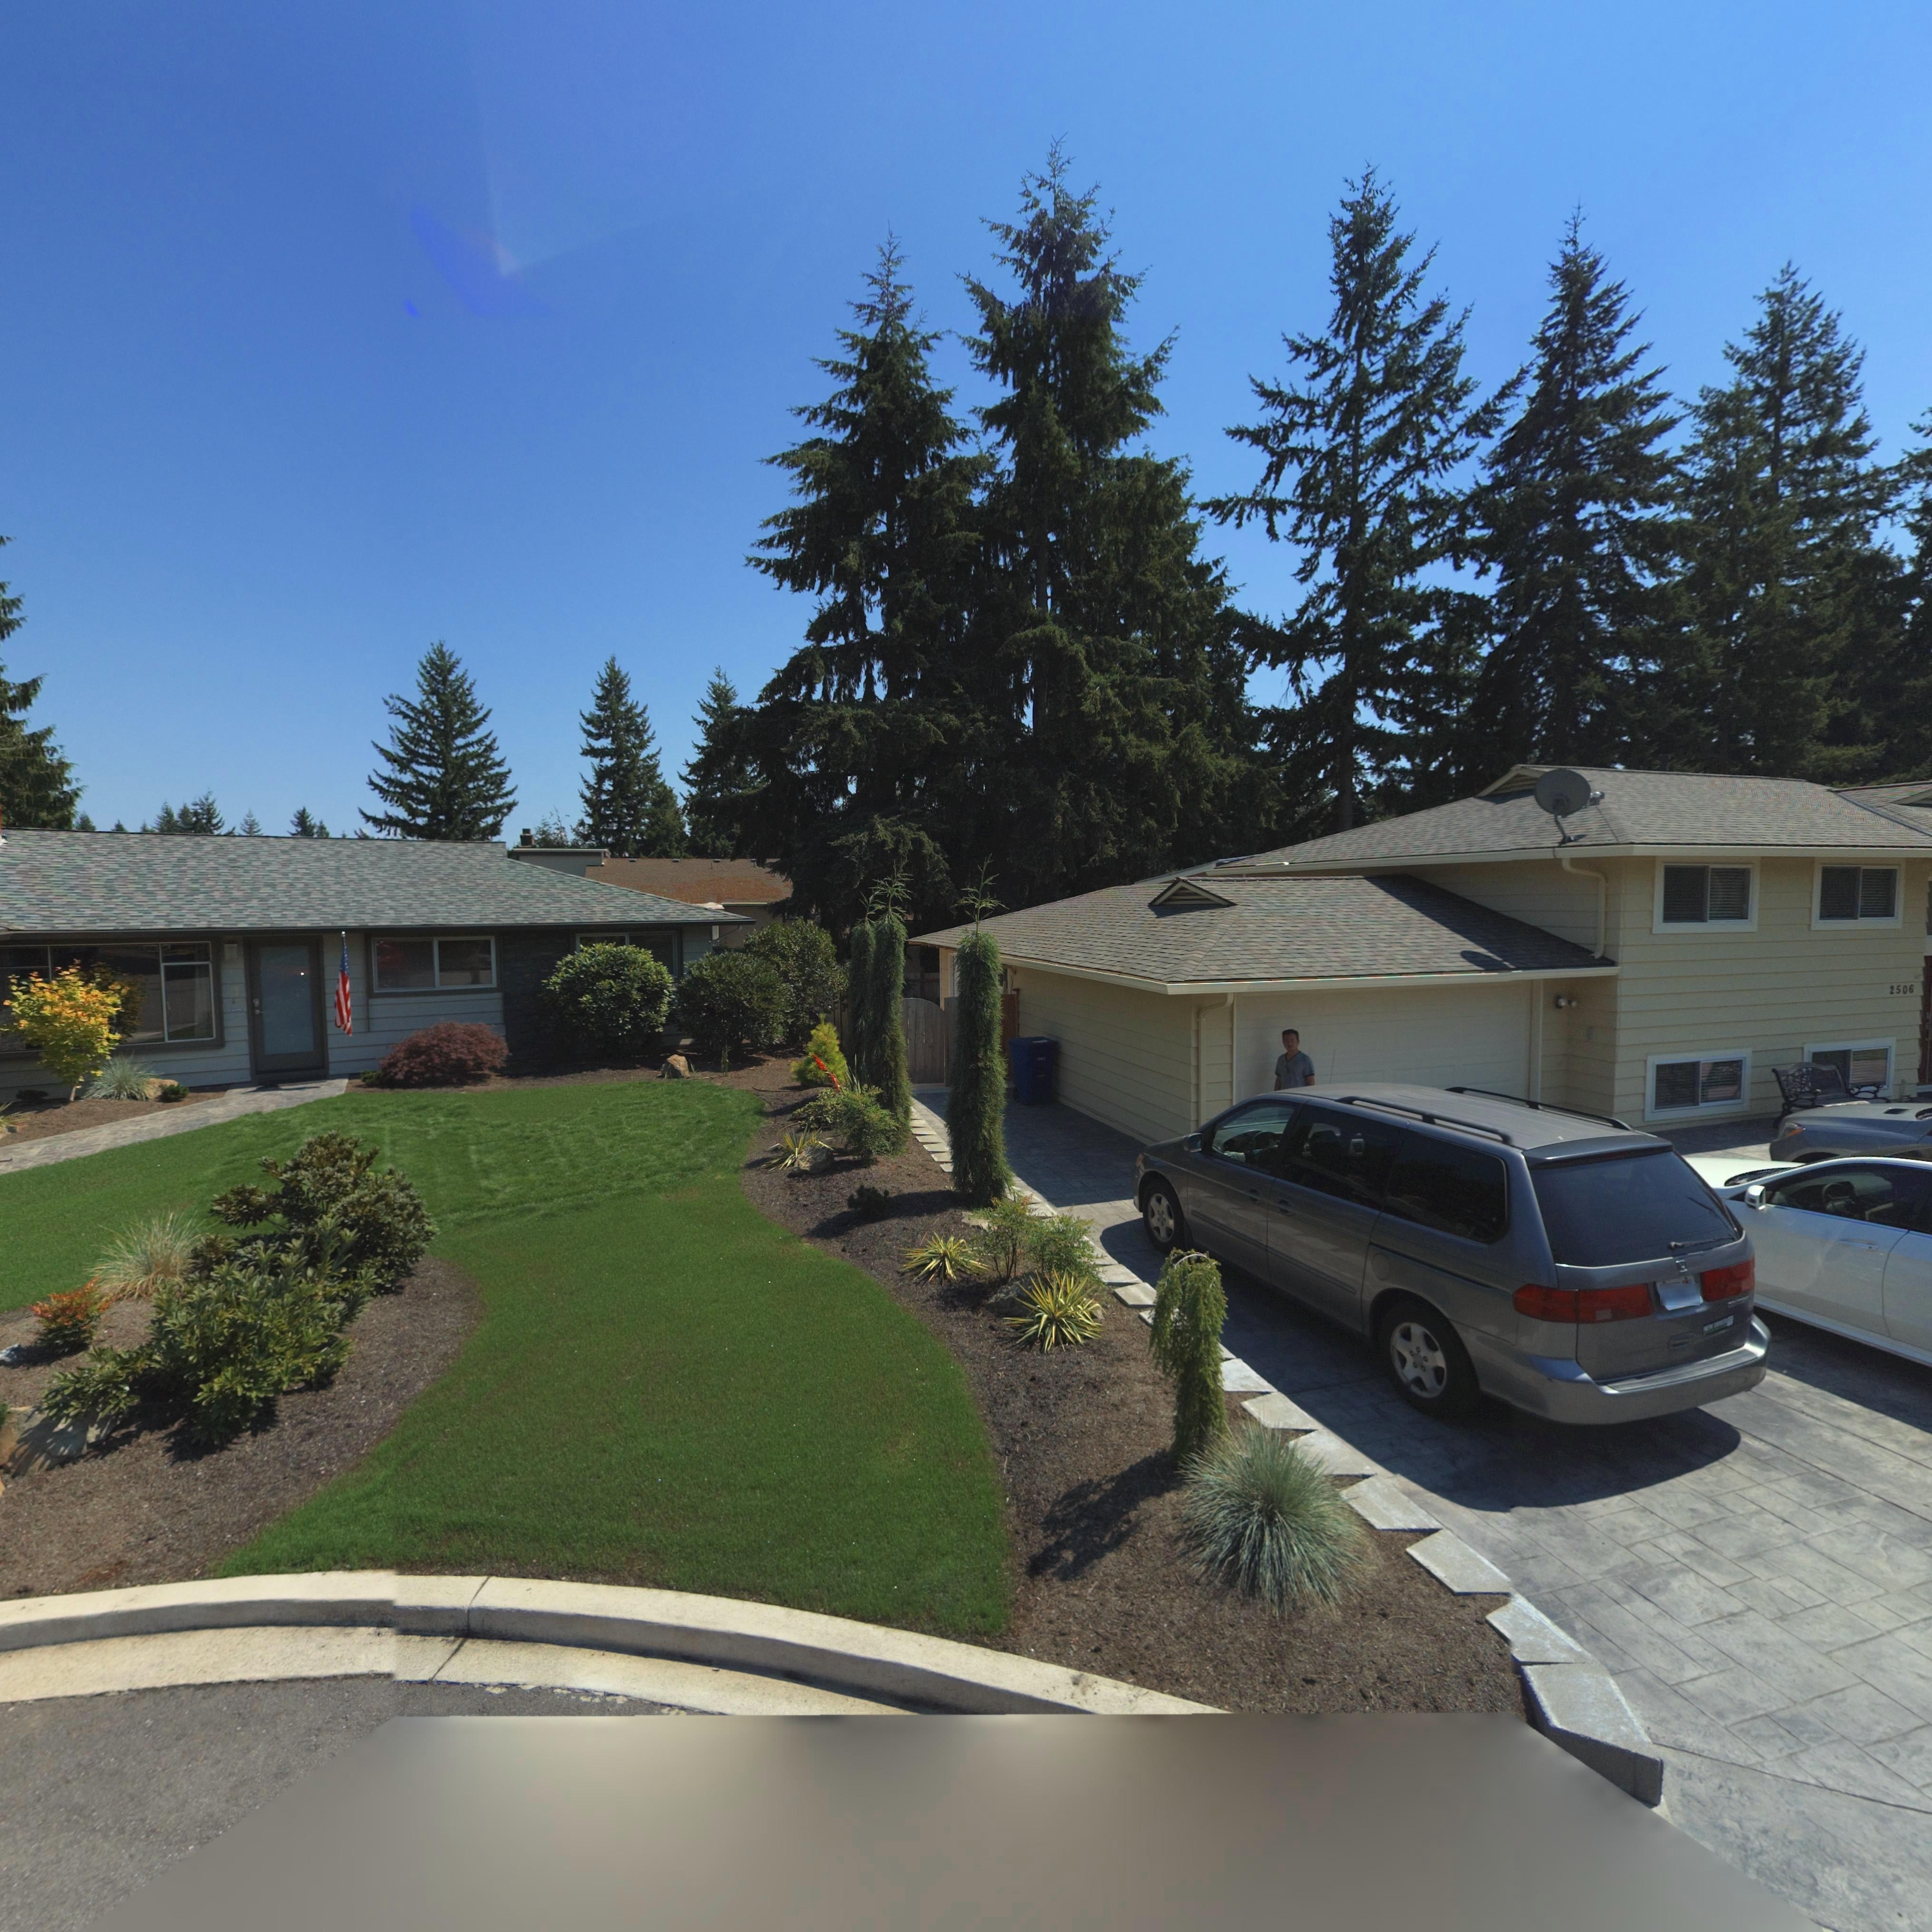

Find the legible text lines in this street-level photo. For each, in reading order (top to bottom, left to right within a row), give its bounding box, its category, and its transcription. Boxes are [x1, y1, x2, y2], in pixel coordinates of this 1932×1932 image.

[1889, 984, 1914, 995] StreetNumber: 2506